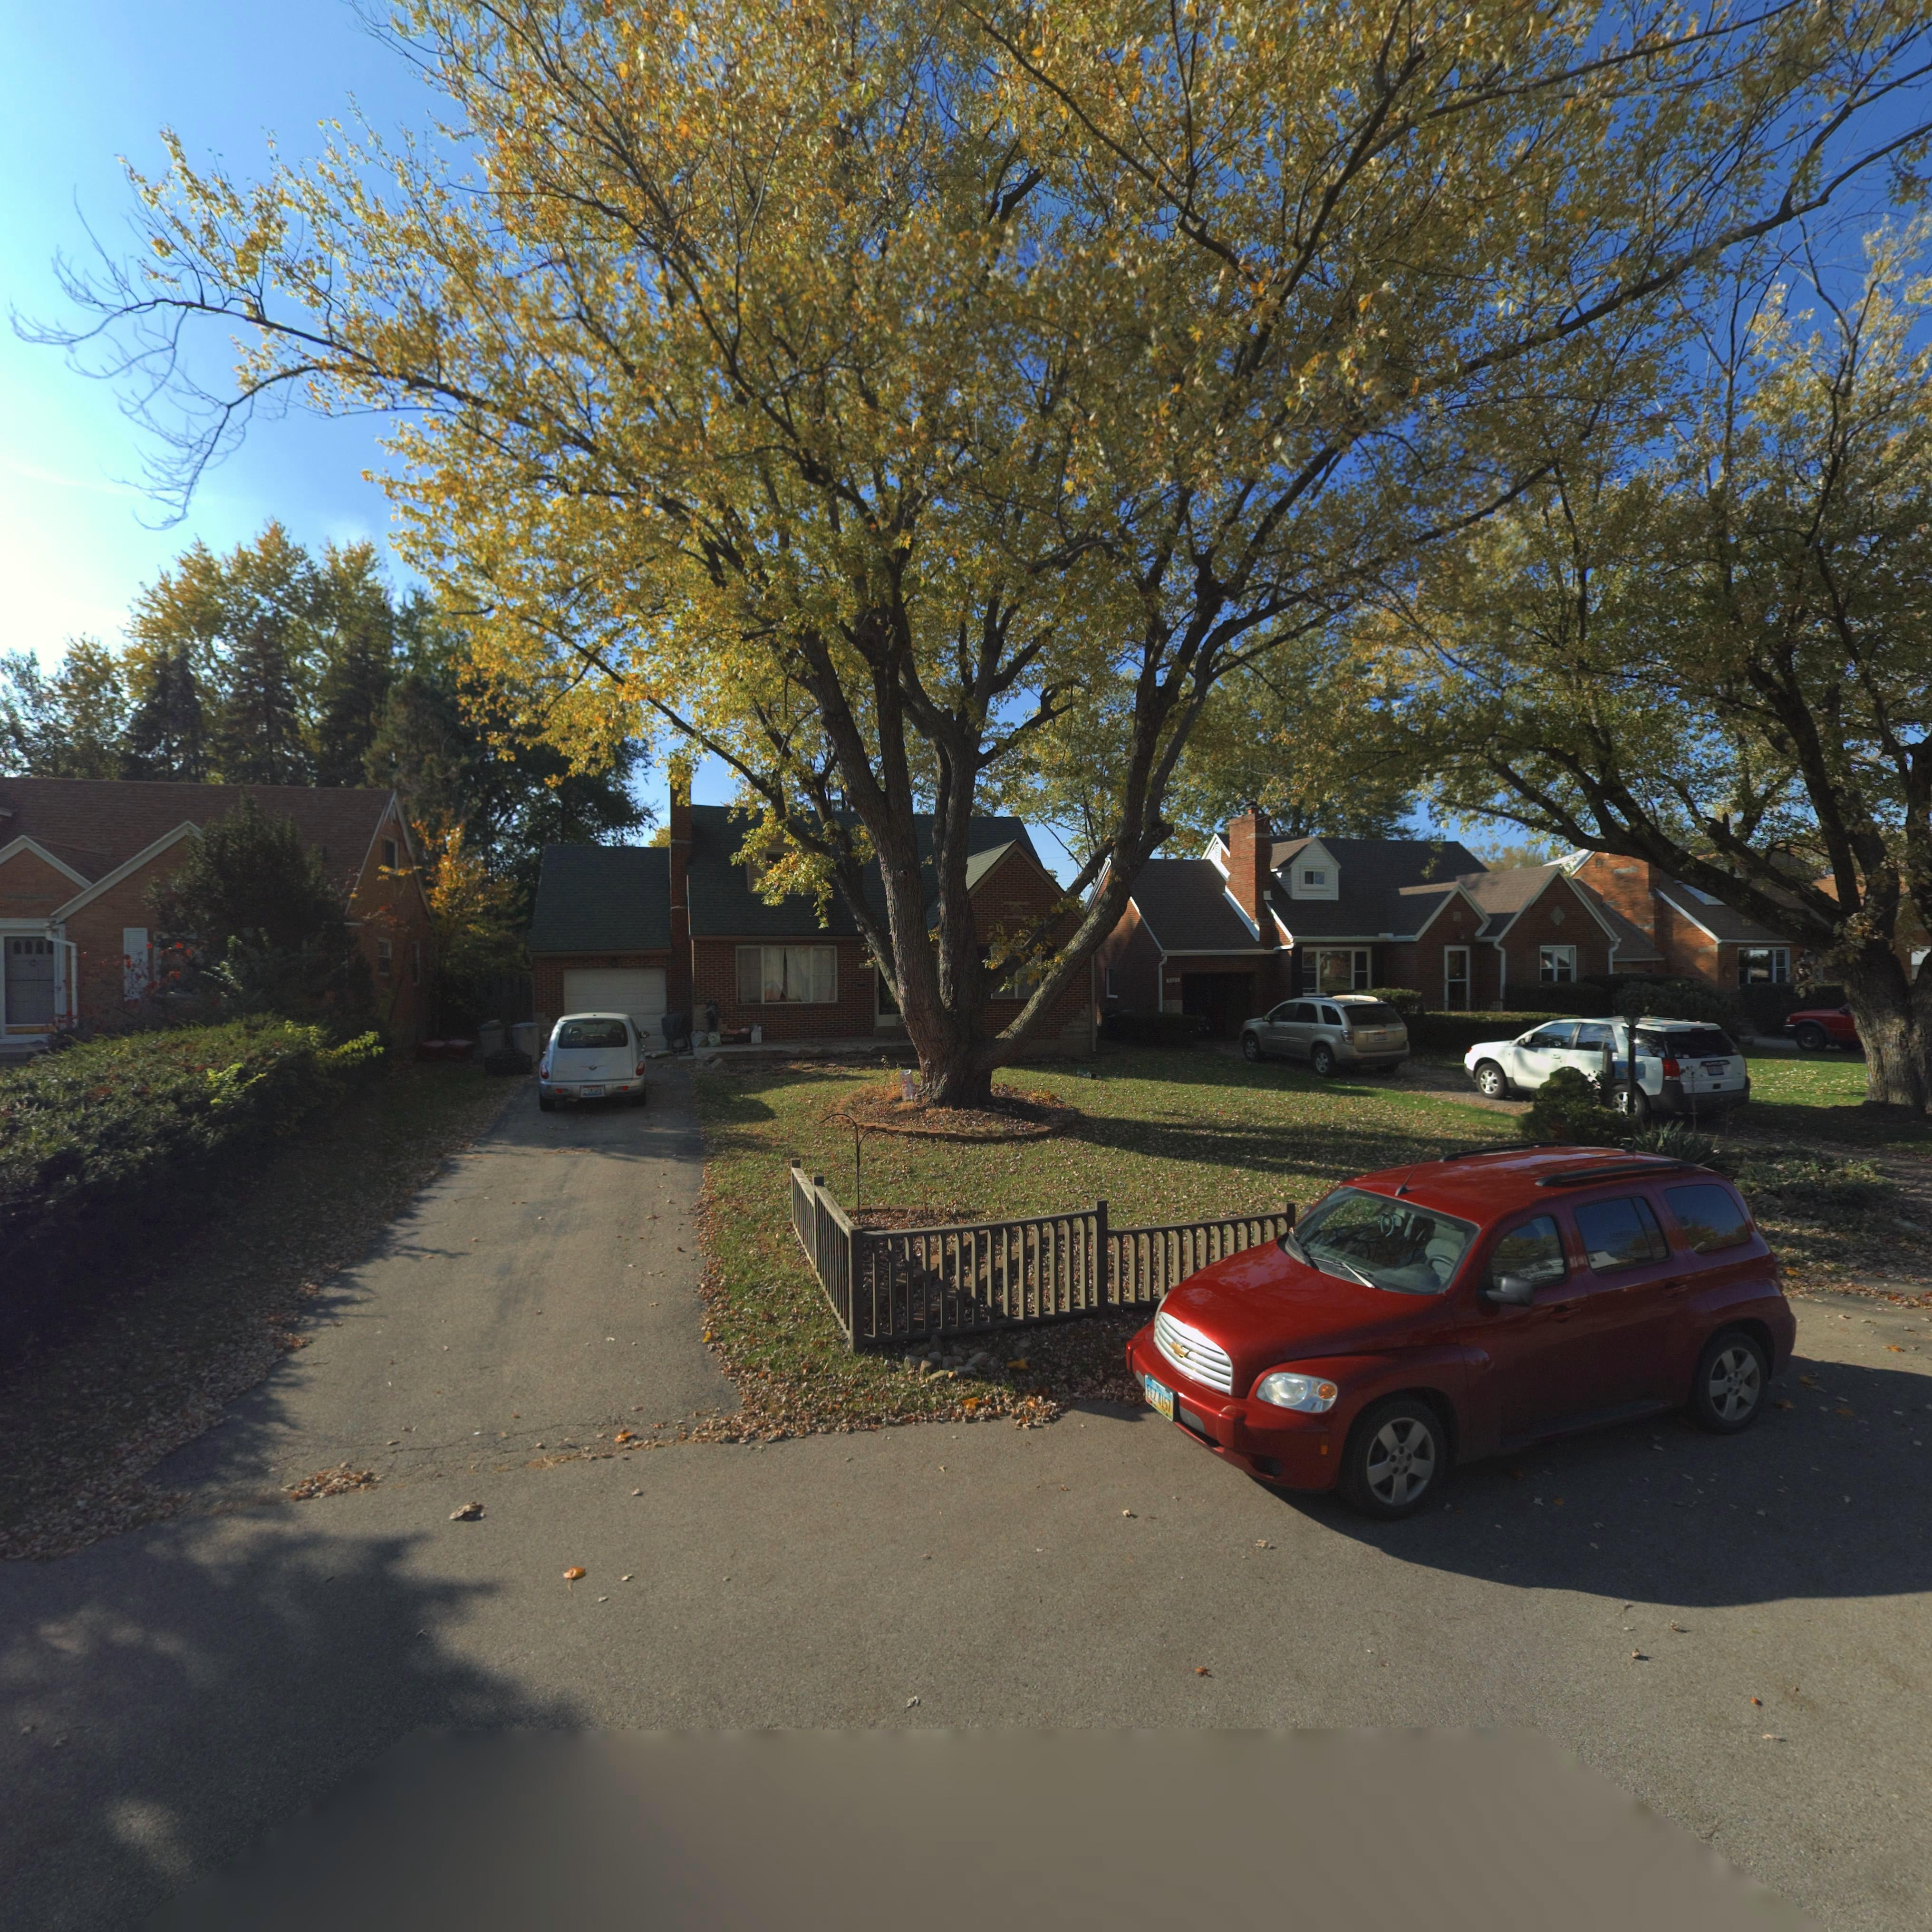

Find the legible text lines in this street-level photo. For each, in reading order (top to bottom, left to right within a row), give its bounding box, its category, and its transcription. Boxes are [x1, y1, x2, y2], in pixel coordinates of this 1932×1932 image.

[860, 963, 866, 968] StreetNumber: 32